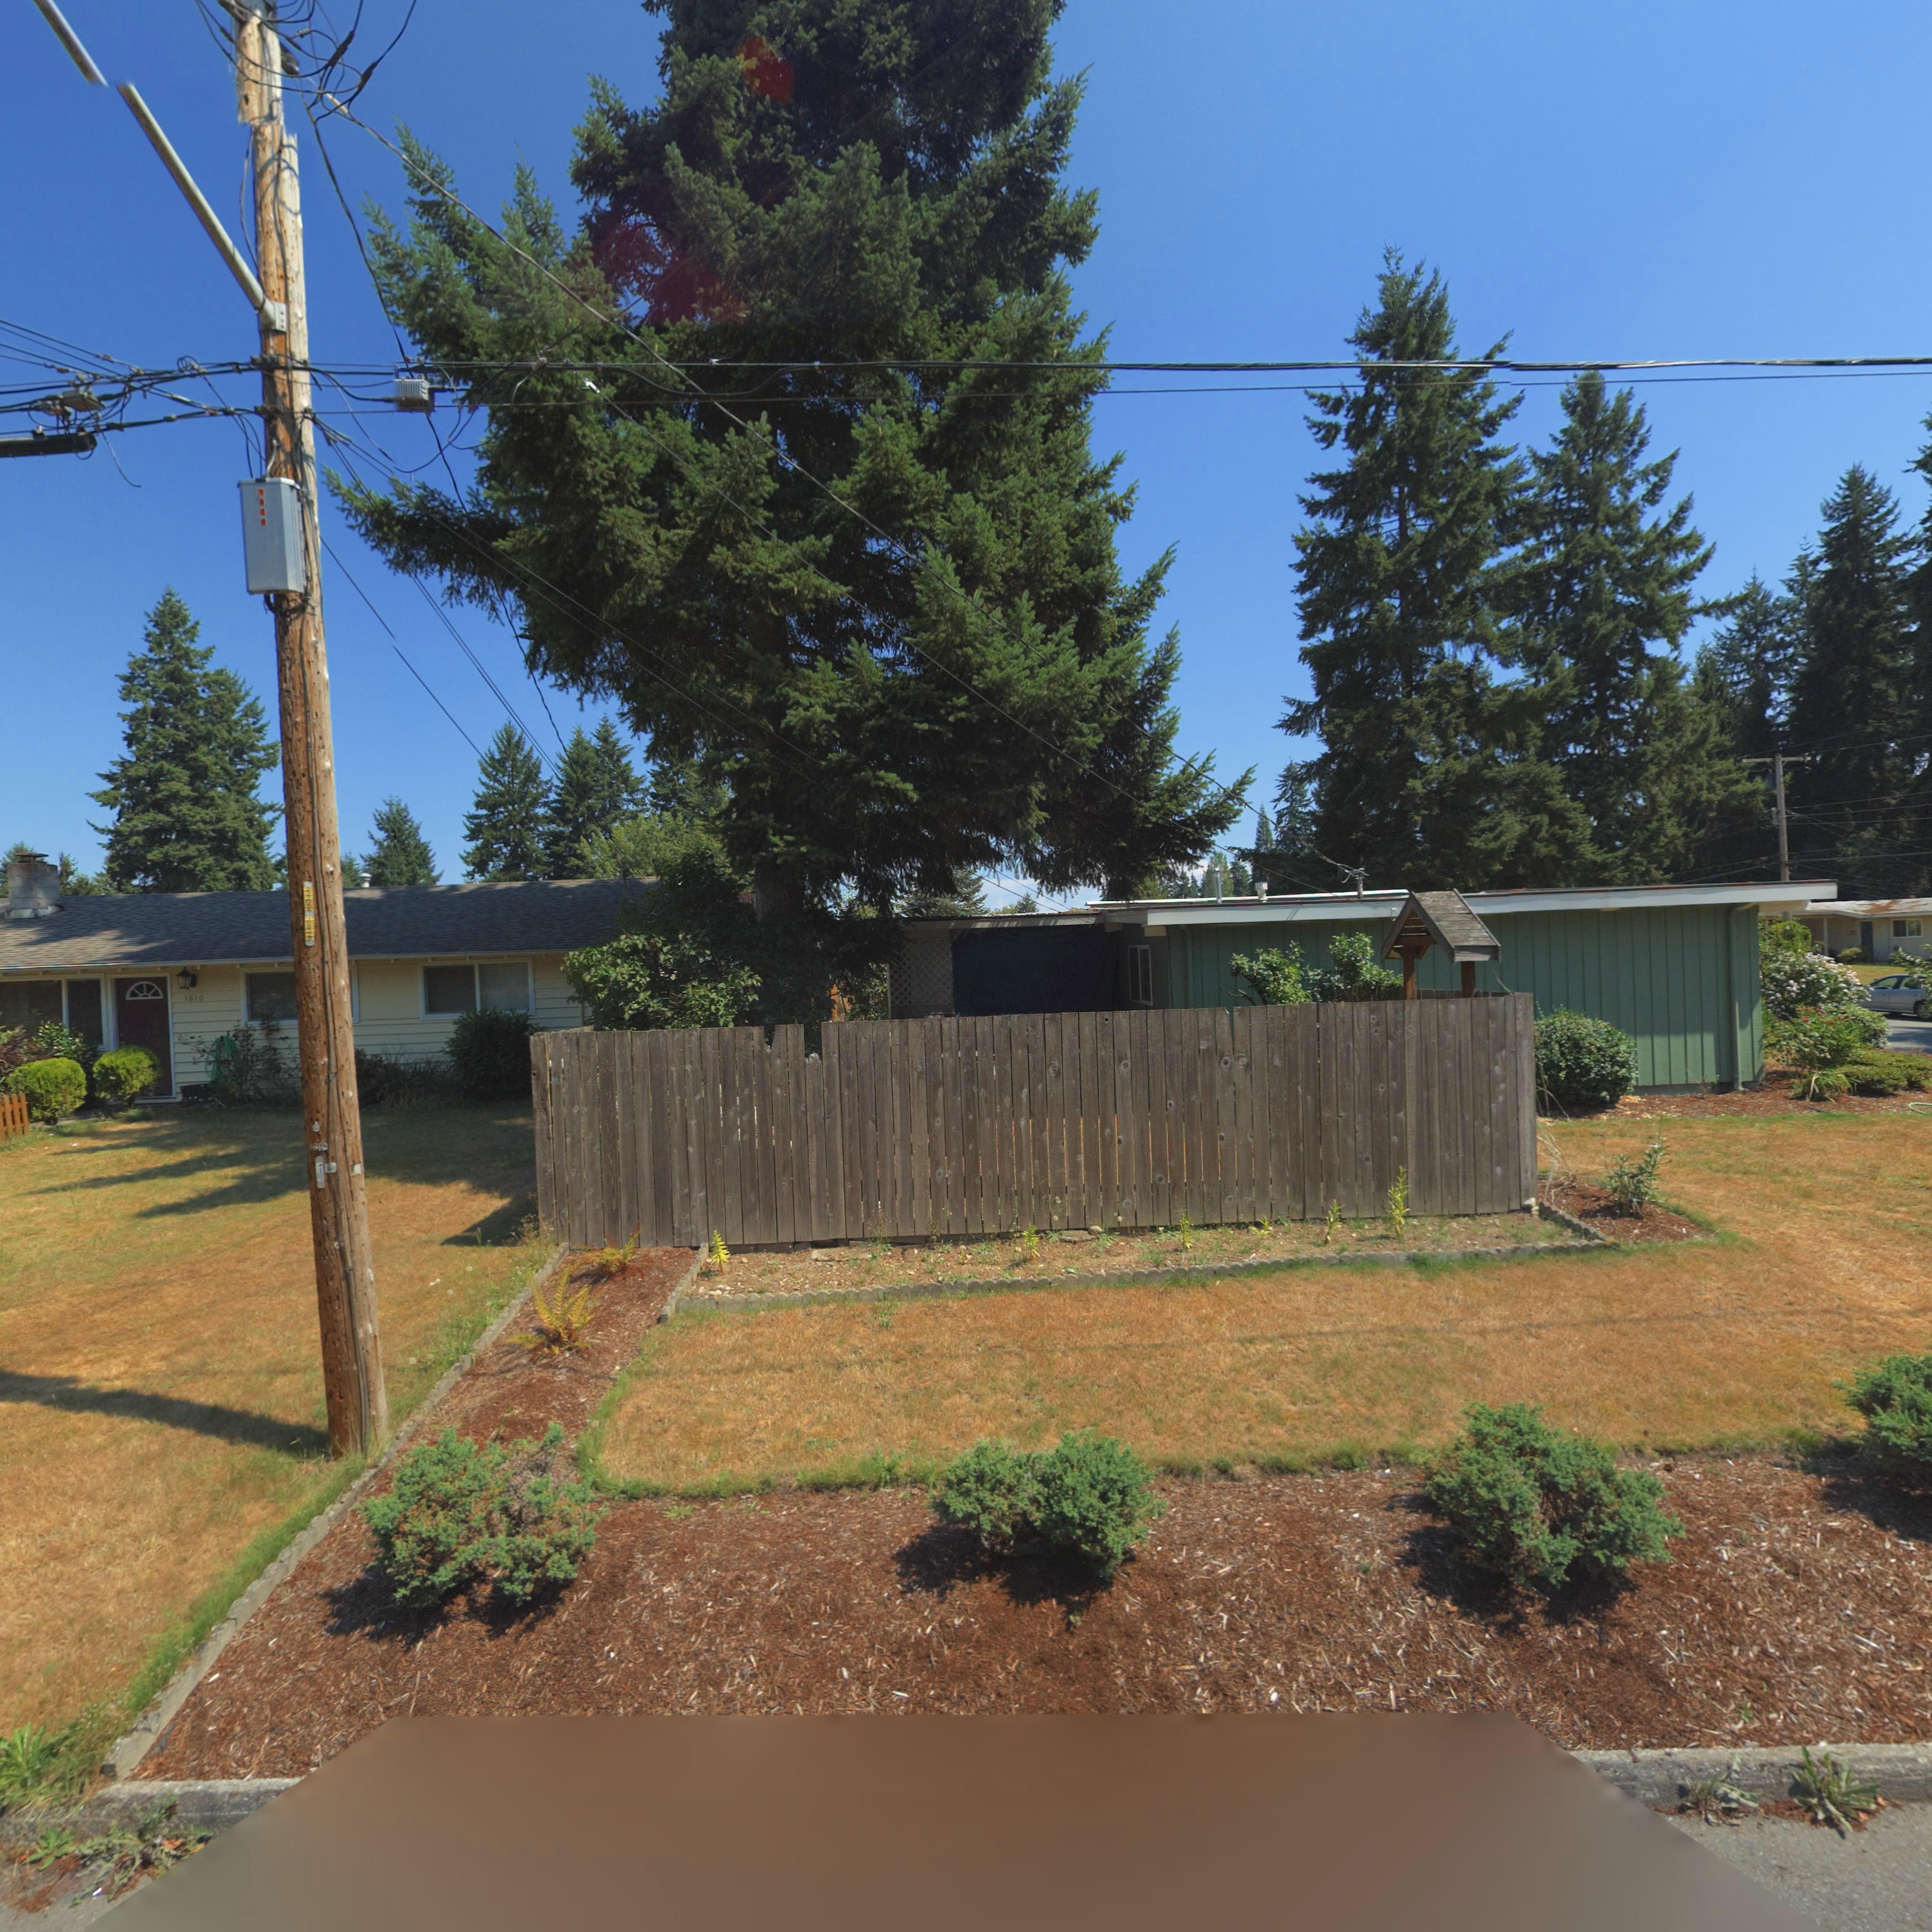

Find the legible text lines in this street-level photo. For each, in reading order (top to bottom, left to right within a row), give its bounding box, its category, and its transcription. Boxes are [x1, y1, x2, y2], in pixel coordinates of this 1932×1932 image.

[184, 995, 204, 1002] StreetNumber: 1610